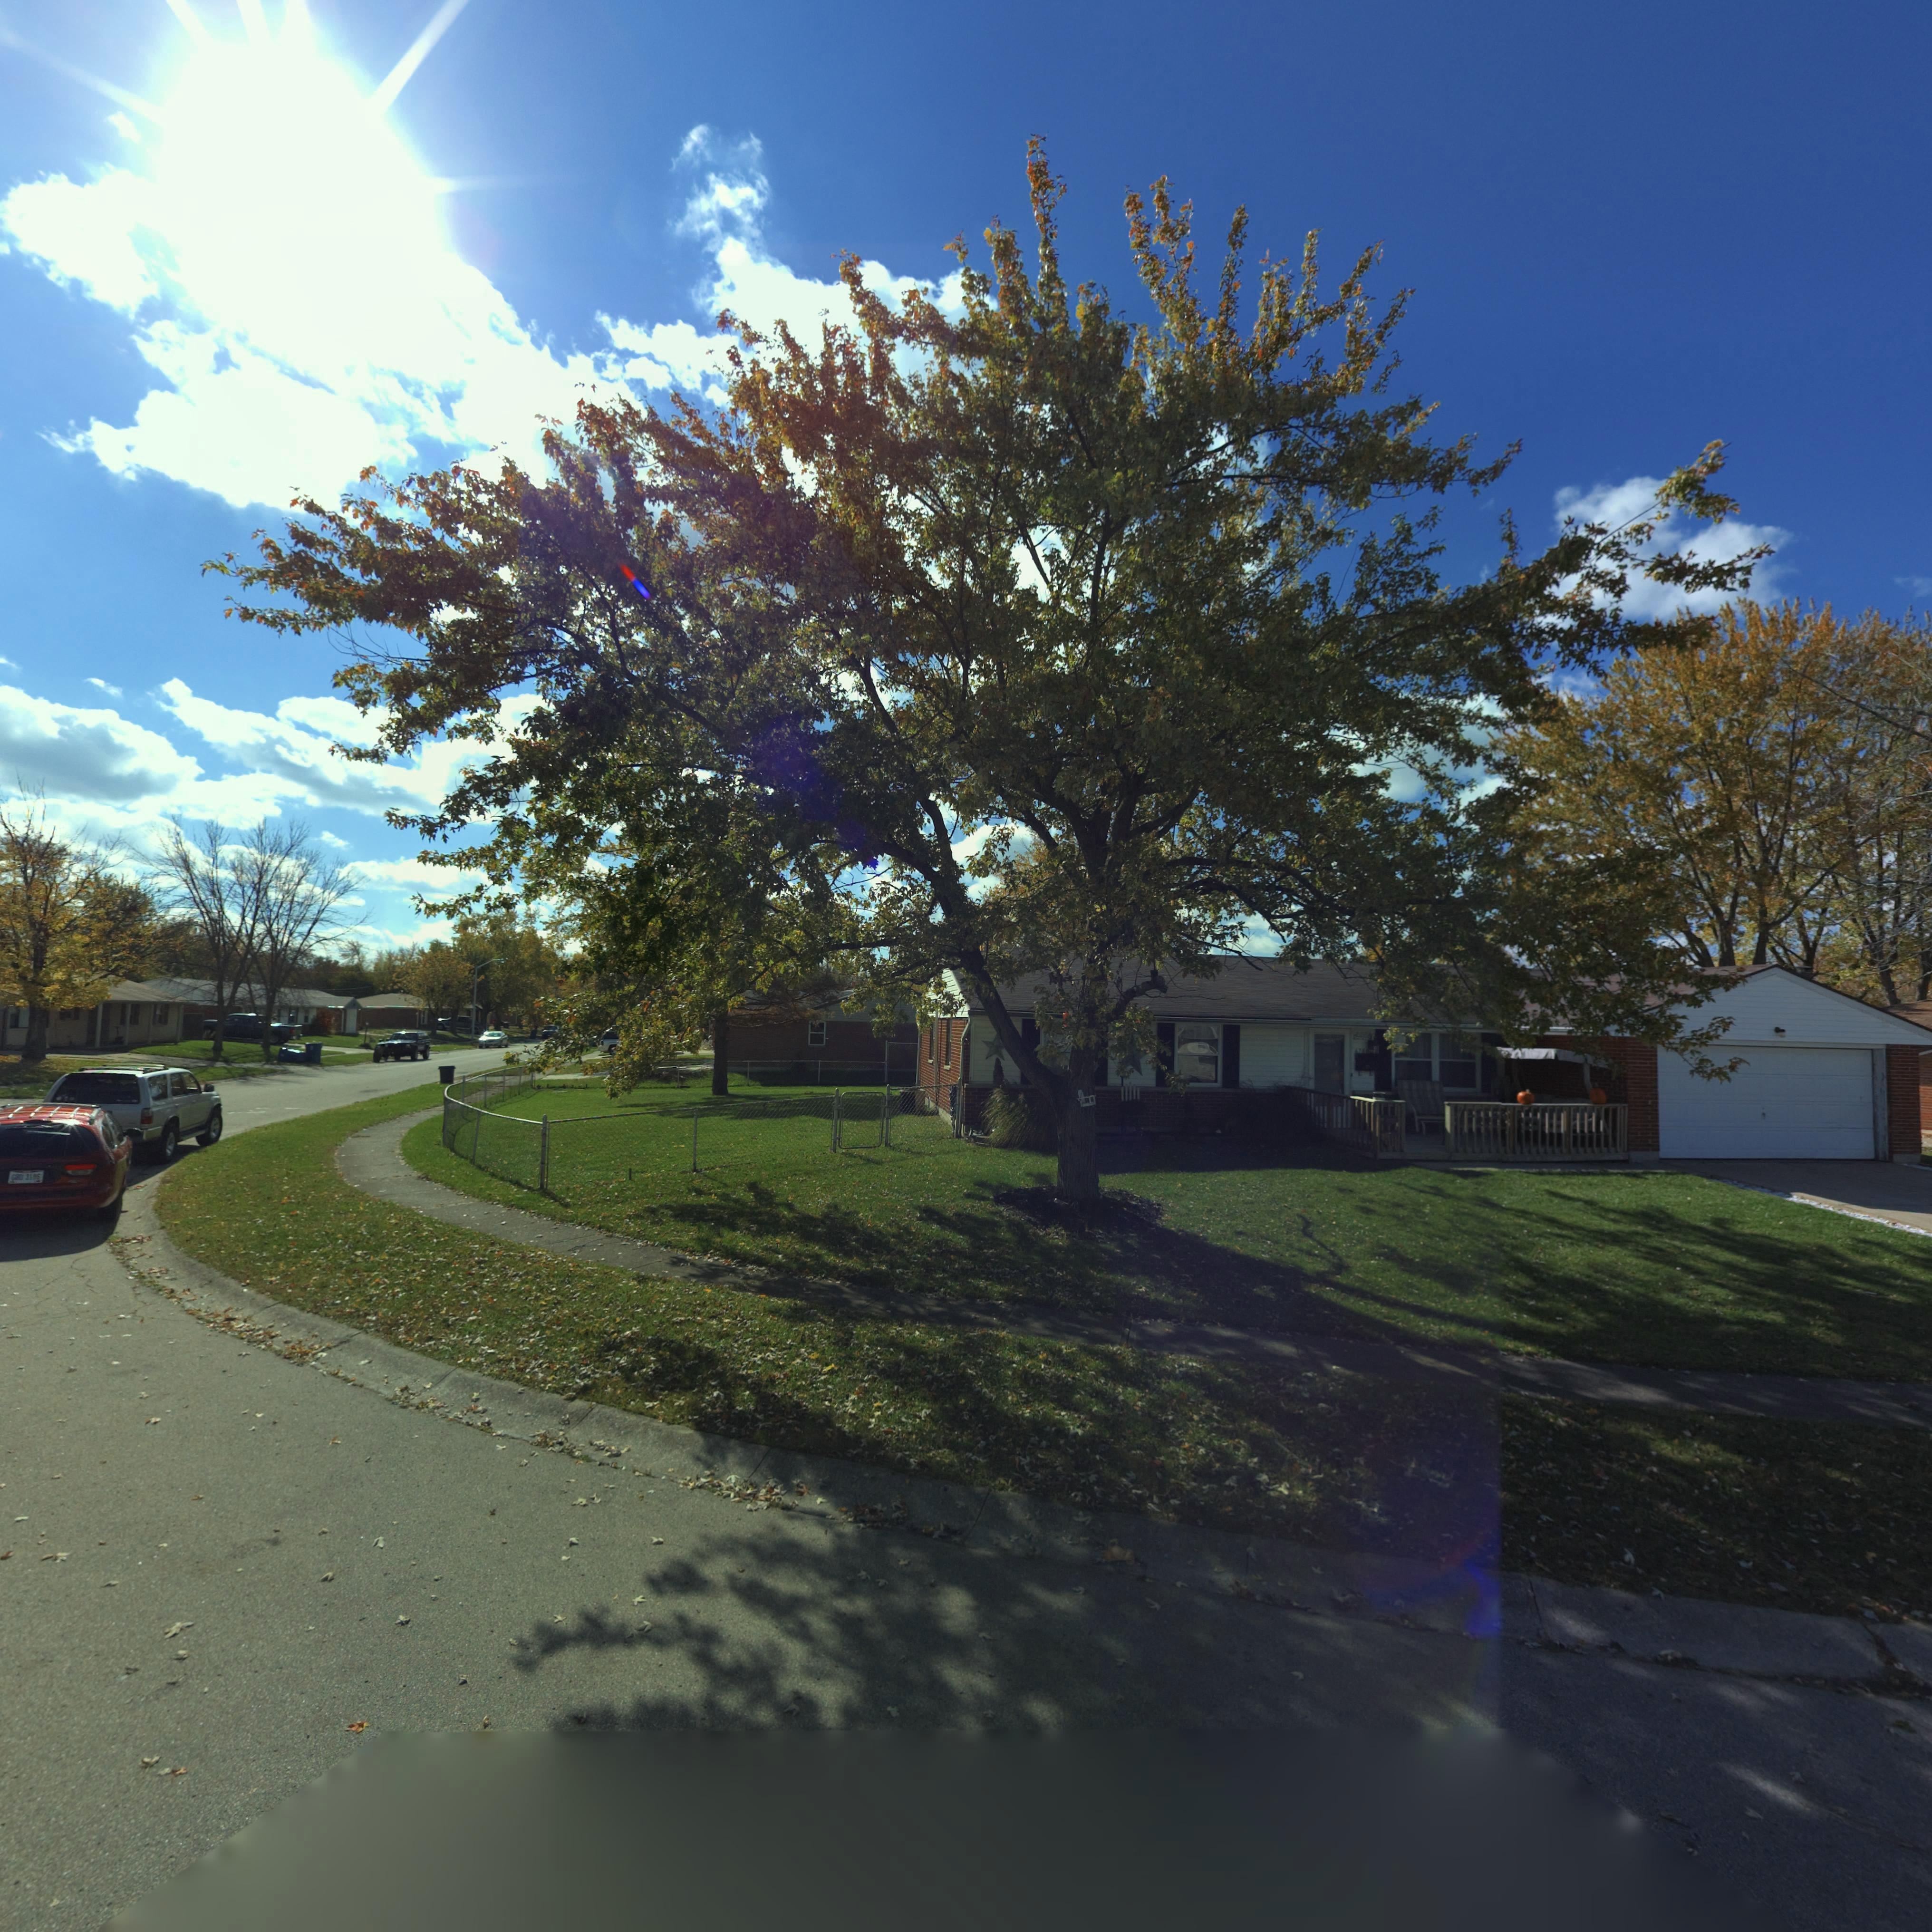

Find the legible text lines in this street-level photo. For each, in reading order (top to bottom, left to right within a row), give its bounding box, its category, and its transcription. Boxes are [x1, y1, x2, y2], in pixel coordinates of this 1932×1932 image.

[1354, 1047, 1370, 1054] StreetNumber: 6780